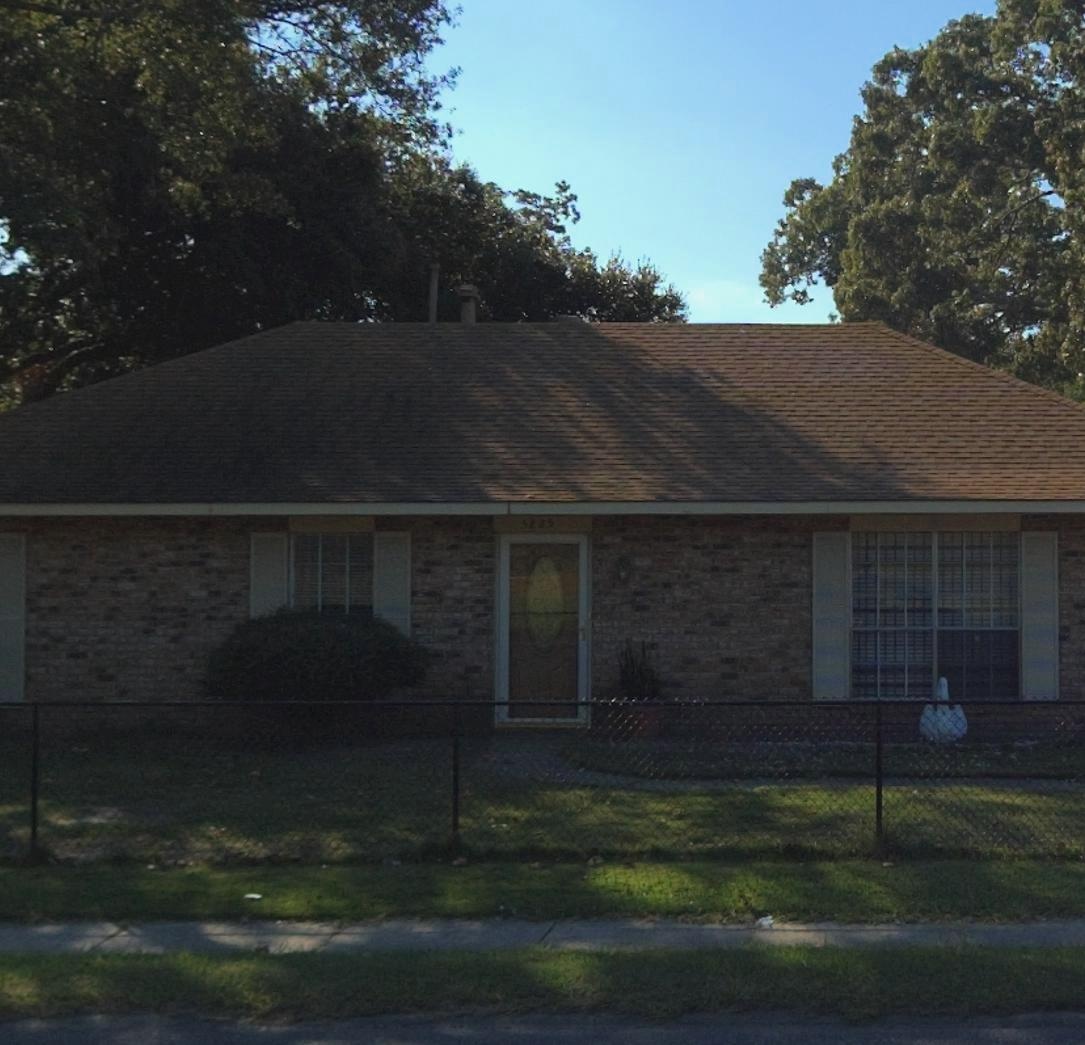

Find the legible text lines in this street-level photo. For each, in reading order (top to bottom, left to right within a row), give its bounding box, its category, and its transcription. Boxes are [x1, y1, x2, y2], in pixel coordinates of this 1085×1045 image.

[521, 517, 555, 530] StreetNumber: 5225